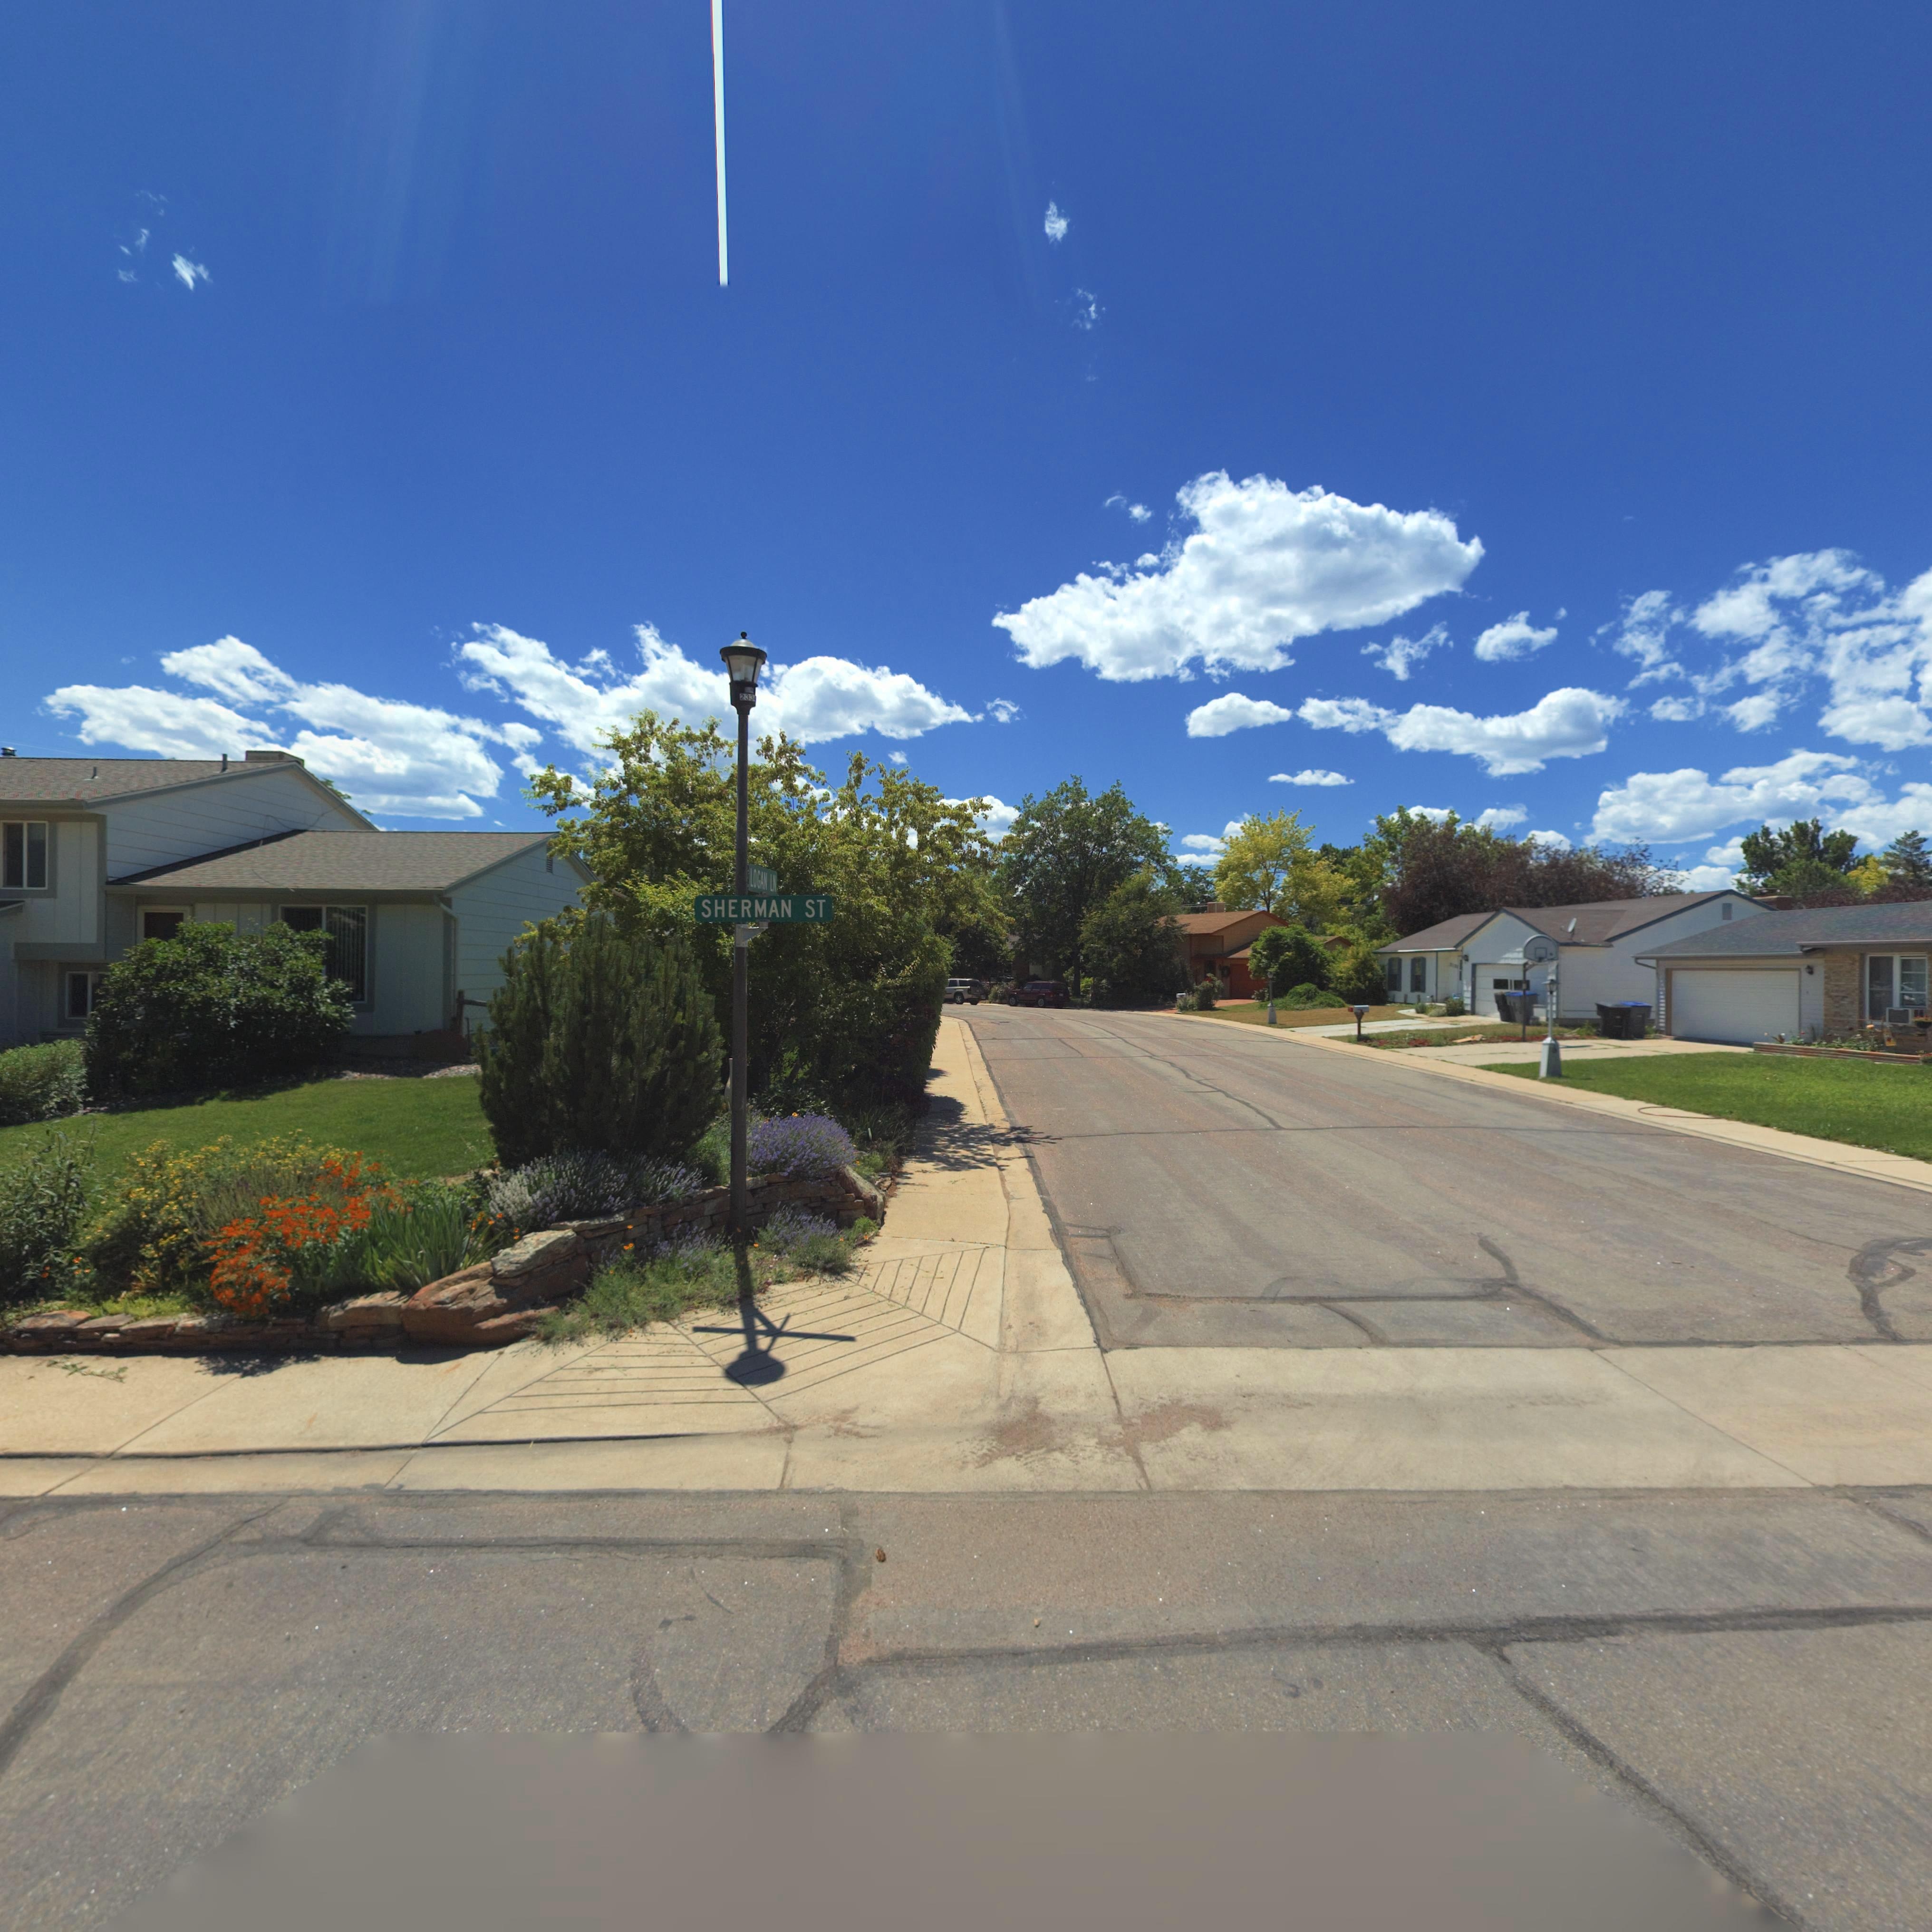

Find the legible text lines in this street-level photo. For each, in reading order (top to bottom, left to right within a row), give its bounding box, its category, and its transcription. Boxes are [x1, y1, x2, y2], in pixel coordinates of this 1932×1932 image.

[749, 867, 777, 893] StreetName: LOGAN LN
[702, 899, 825, 917] StreetName: SHERMAN ST